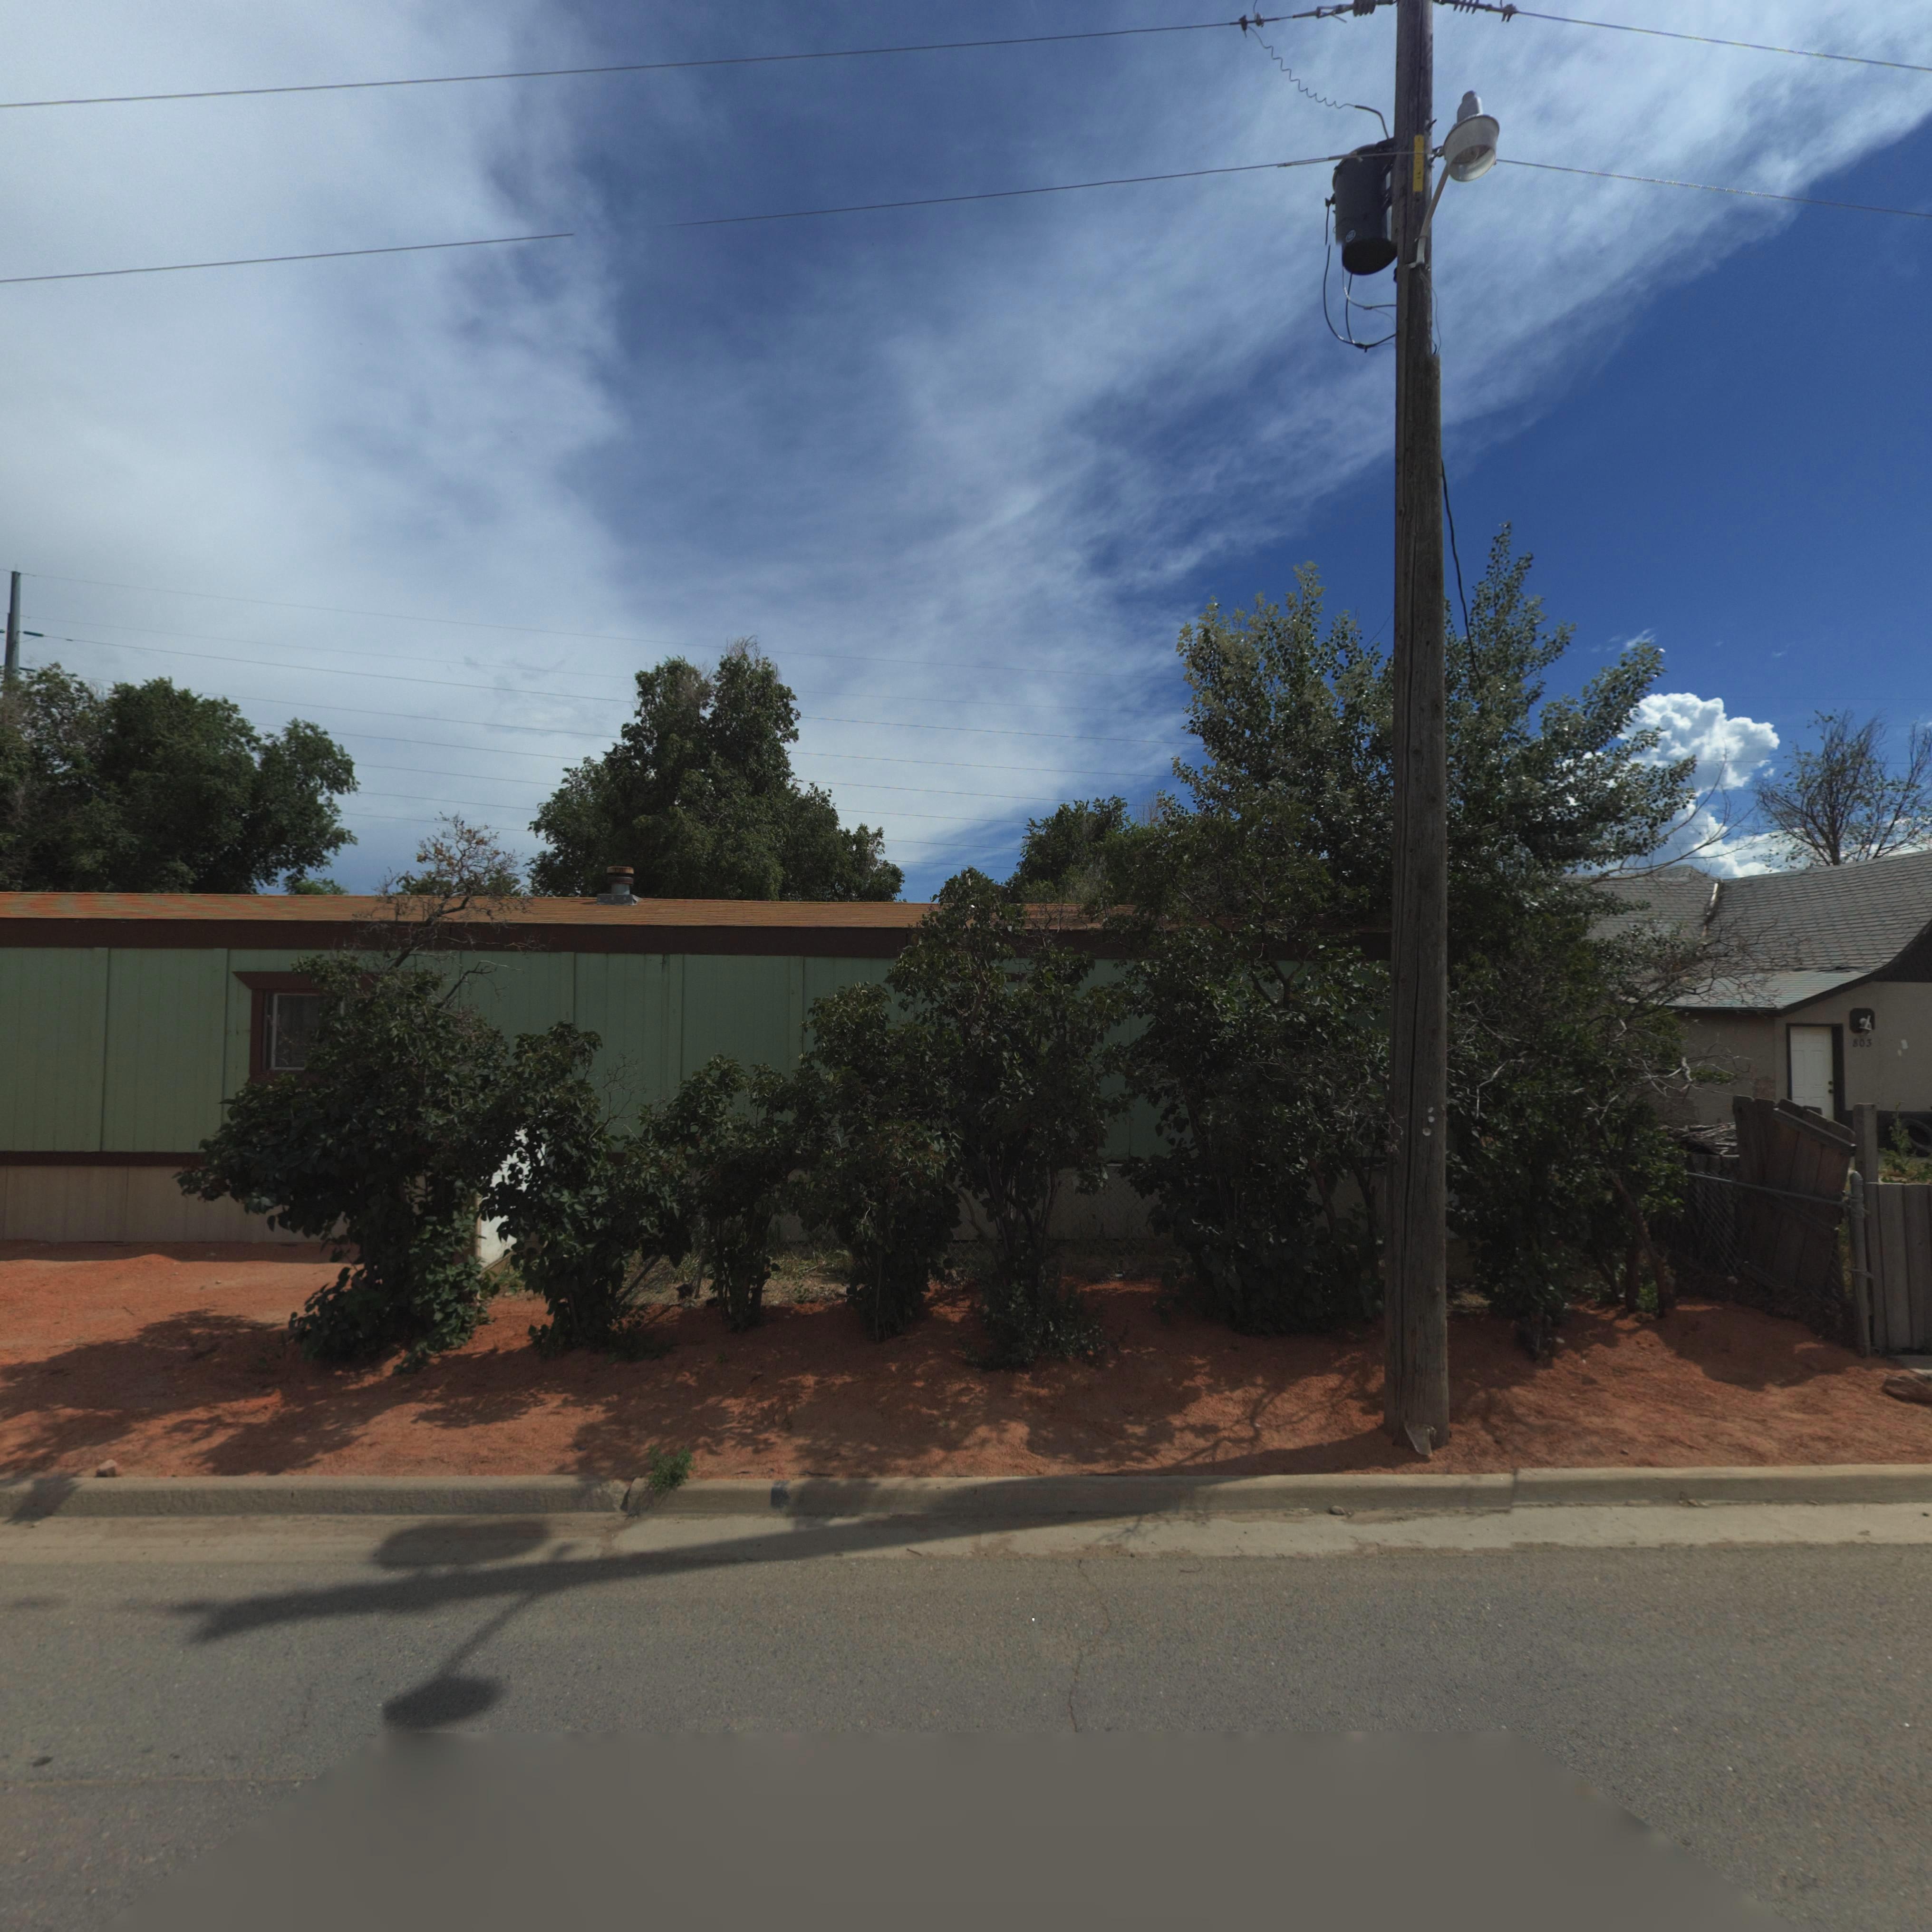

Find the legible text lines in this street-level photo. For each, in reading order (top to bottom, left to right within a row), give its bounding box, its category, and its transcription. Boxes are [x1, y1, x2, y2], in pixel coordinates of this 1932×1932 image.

[1852, 1038, 1872, 1047] StreetNumber: 803